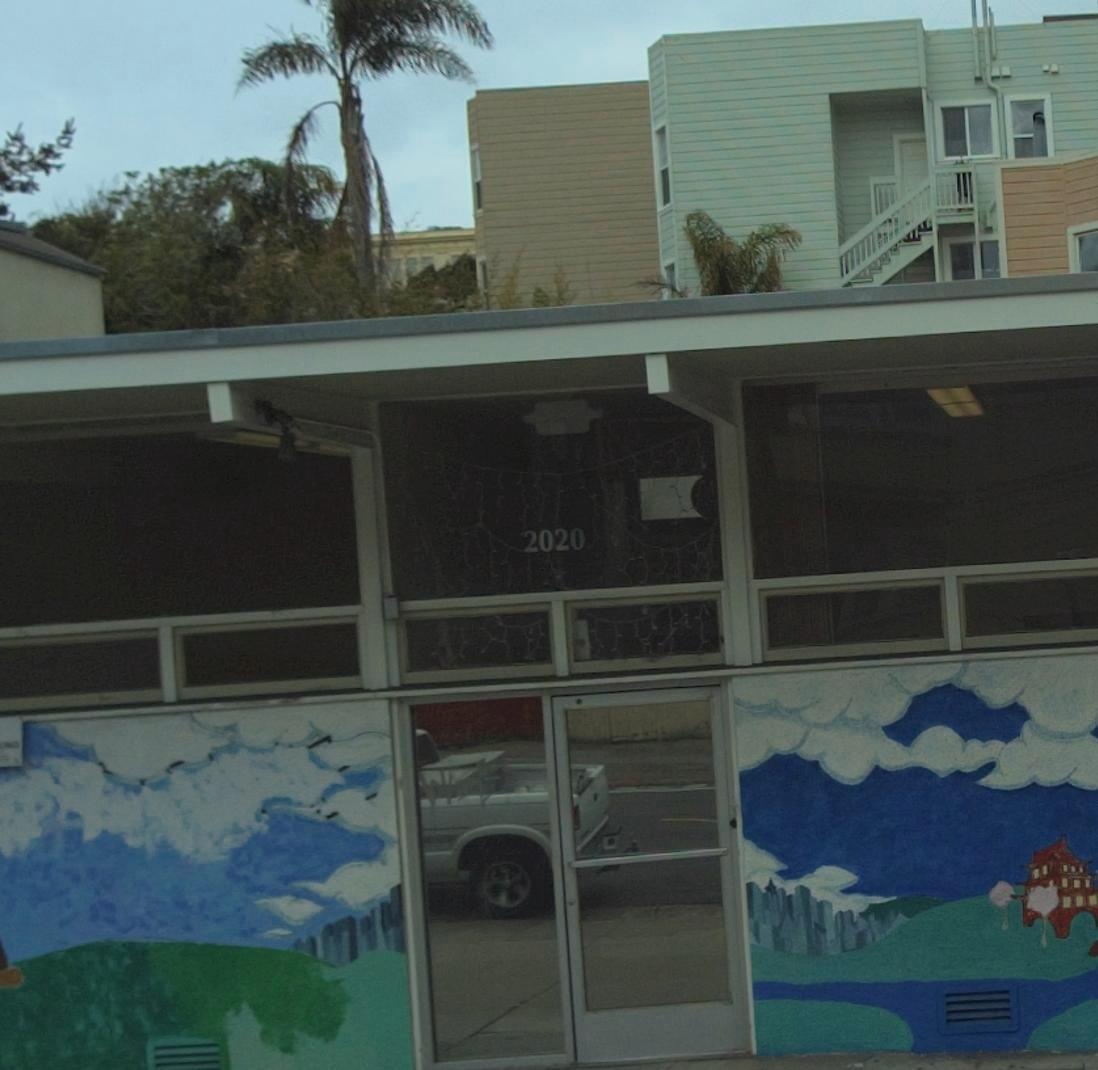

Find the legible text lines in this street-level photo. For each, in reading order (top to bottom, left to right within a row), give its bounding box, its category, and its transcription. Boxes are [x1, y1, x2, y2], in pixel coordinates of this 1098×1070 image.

[522, 526, 587, 555] StreetNumber: 2020